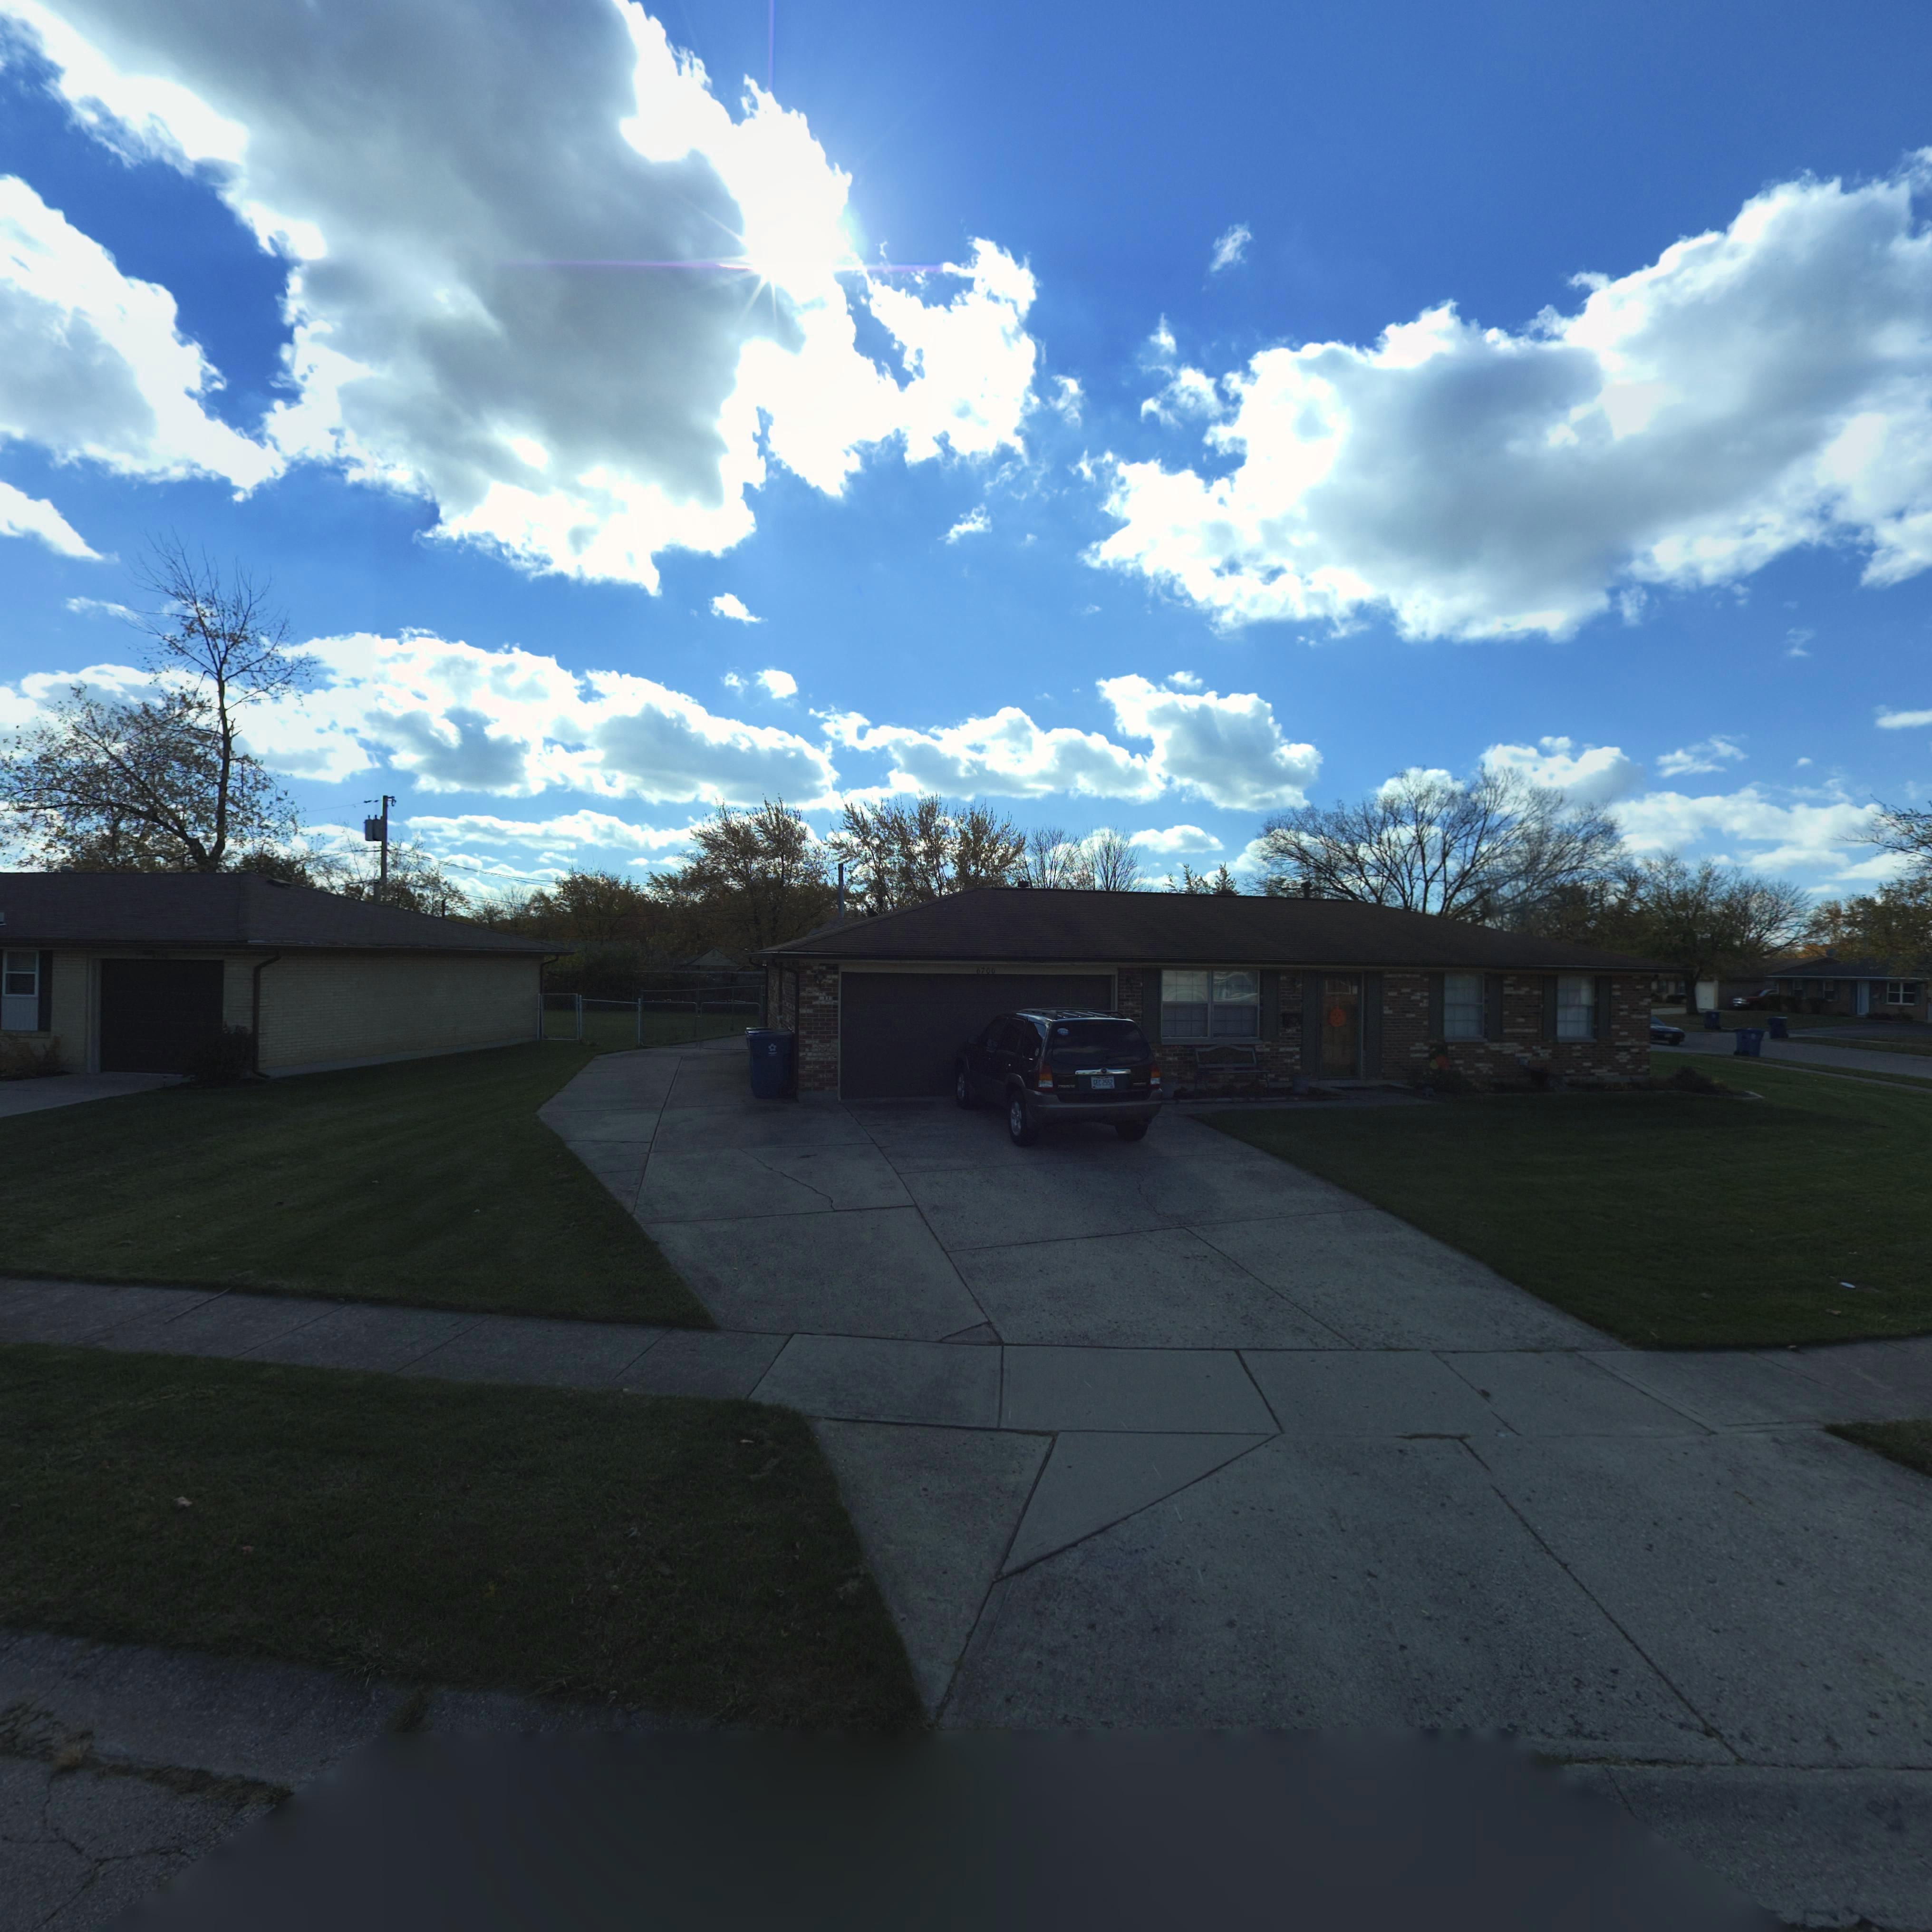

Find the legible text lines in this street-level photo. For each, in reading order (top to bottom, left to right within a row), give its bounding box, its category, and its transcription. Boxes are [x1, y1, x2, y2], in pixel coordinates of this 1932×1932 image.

[151, 952, 169, 959] StreetNumber: 67**
[976, 967, 995, 975] StreetNumber: 6700